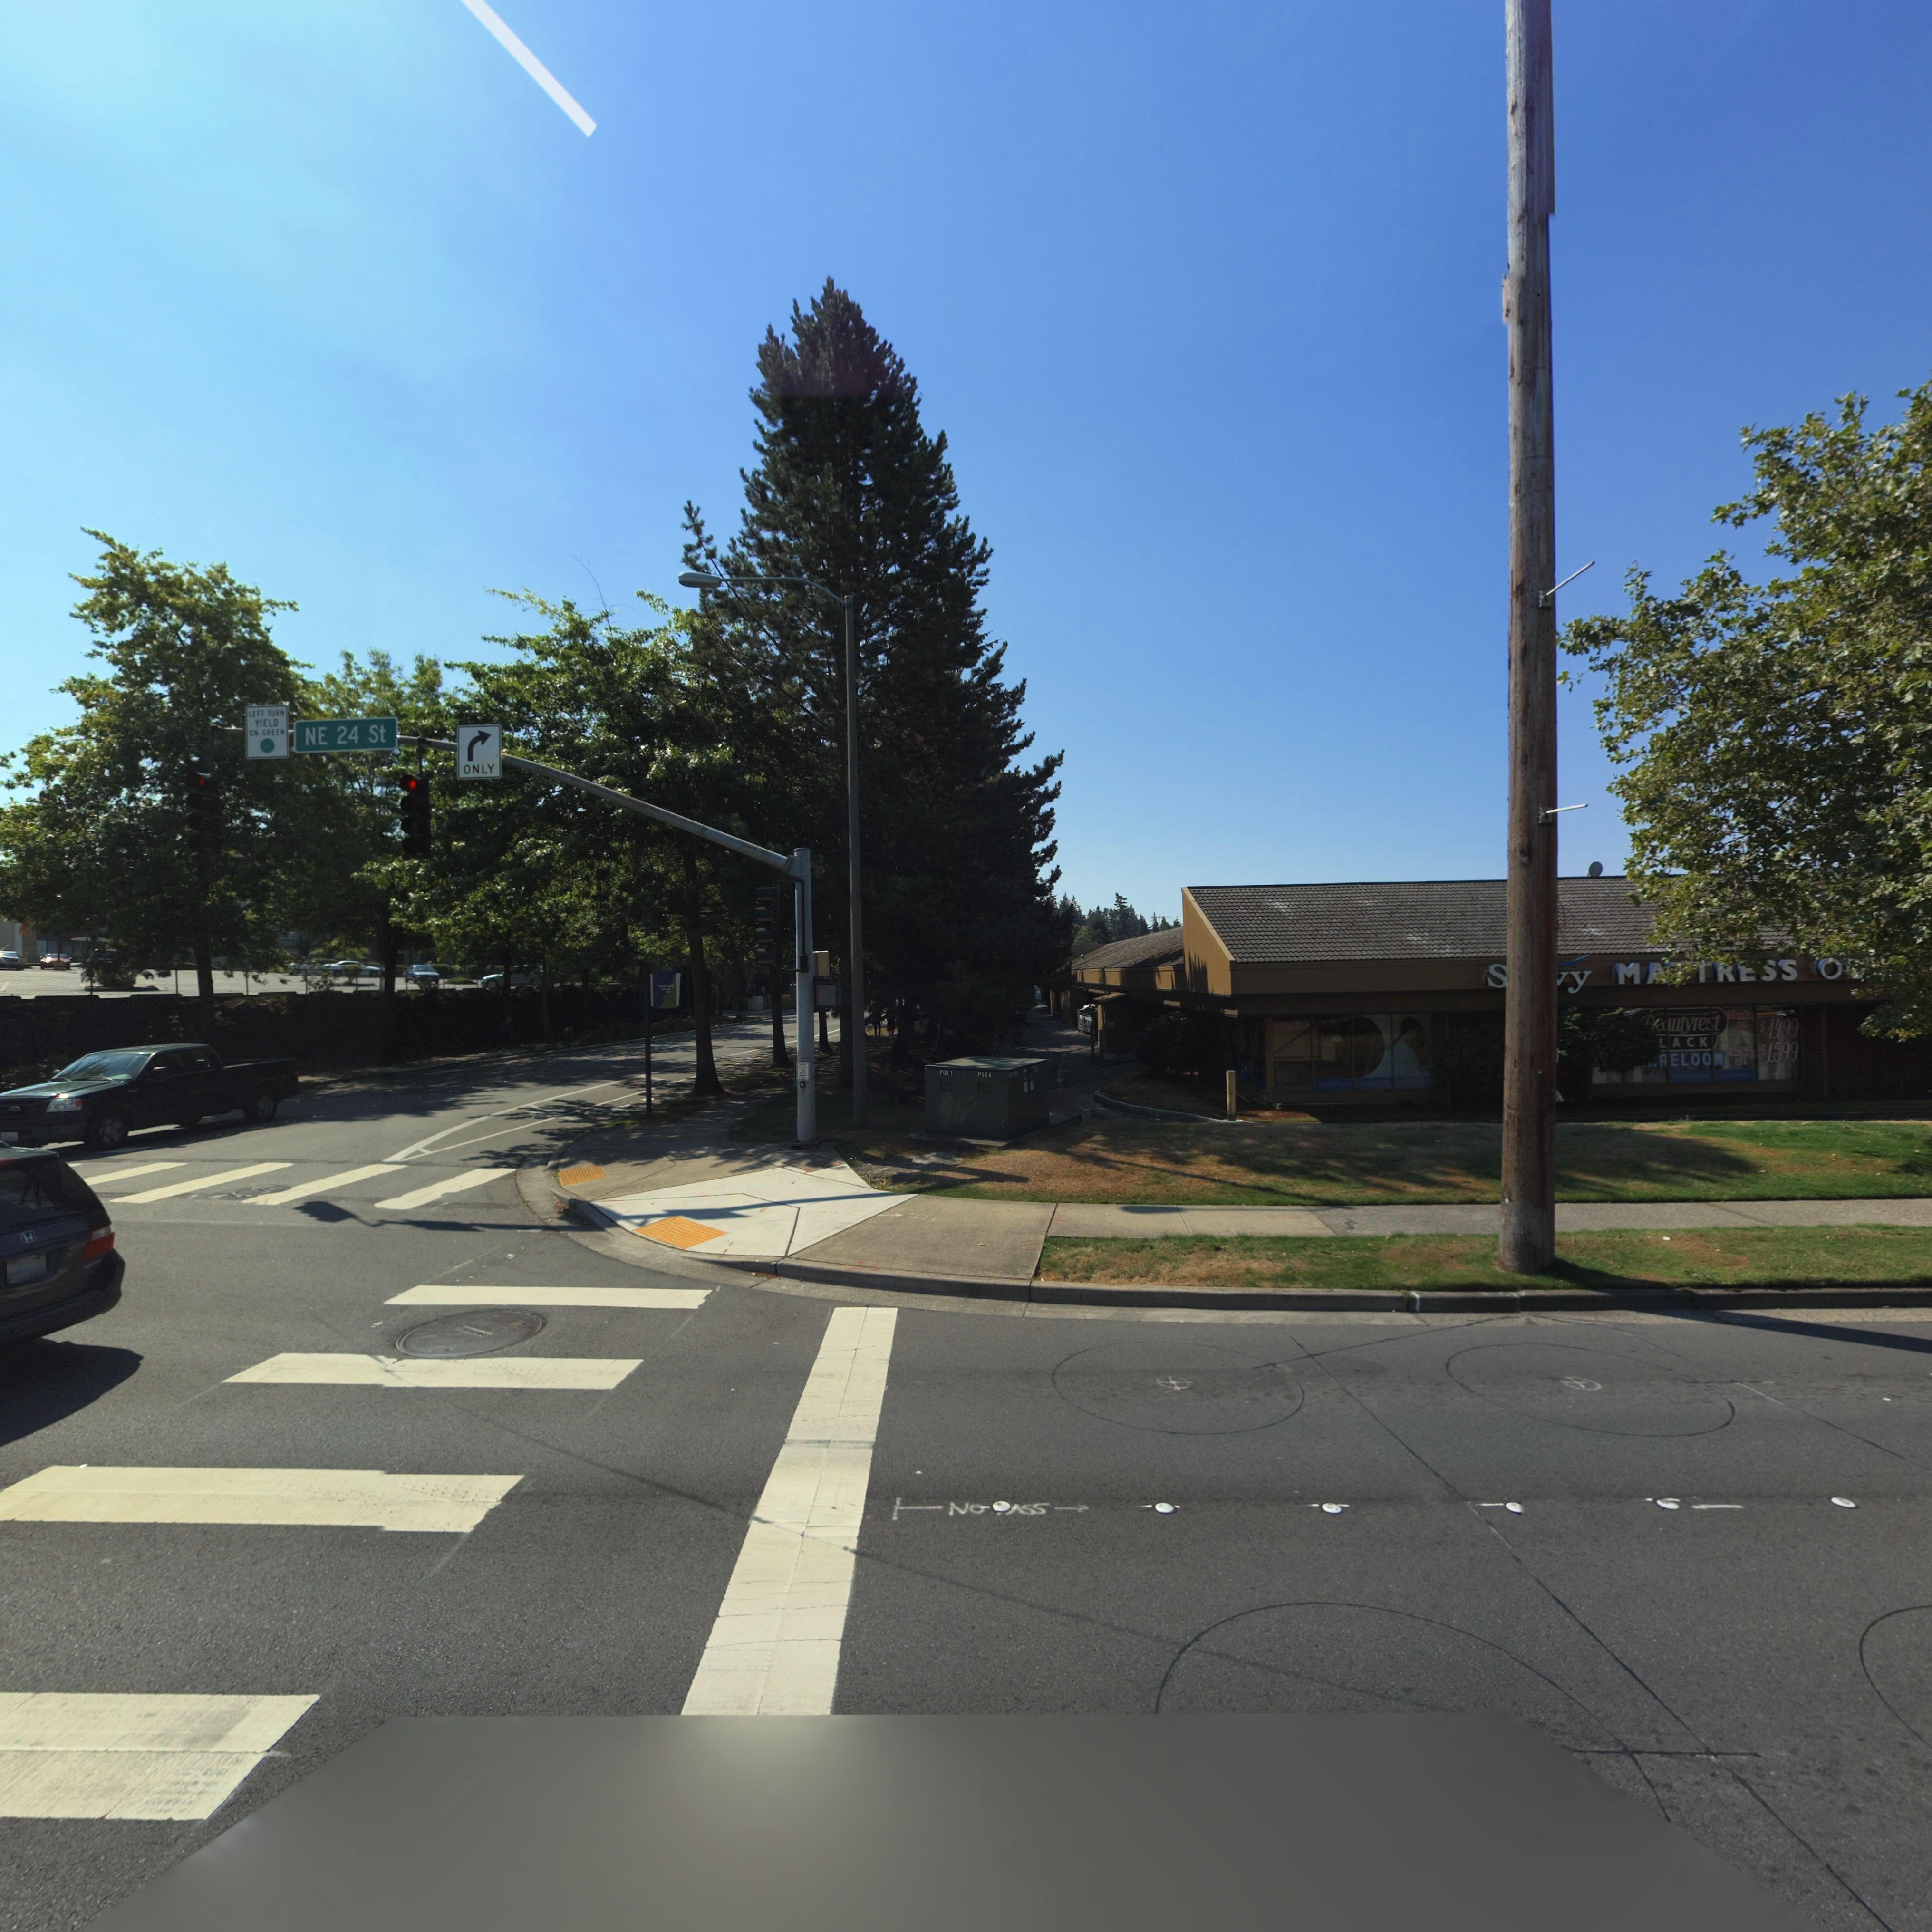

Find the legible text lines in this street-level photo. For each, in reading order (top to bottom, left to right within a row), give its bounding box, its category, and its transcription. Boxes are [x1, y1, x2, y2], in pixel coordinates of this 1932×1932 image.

[301, 721, 390, 747] StreetName: NE 24 St